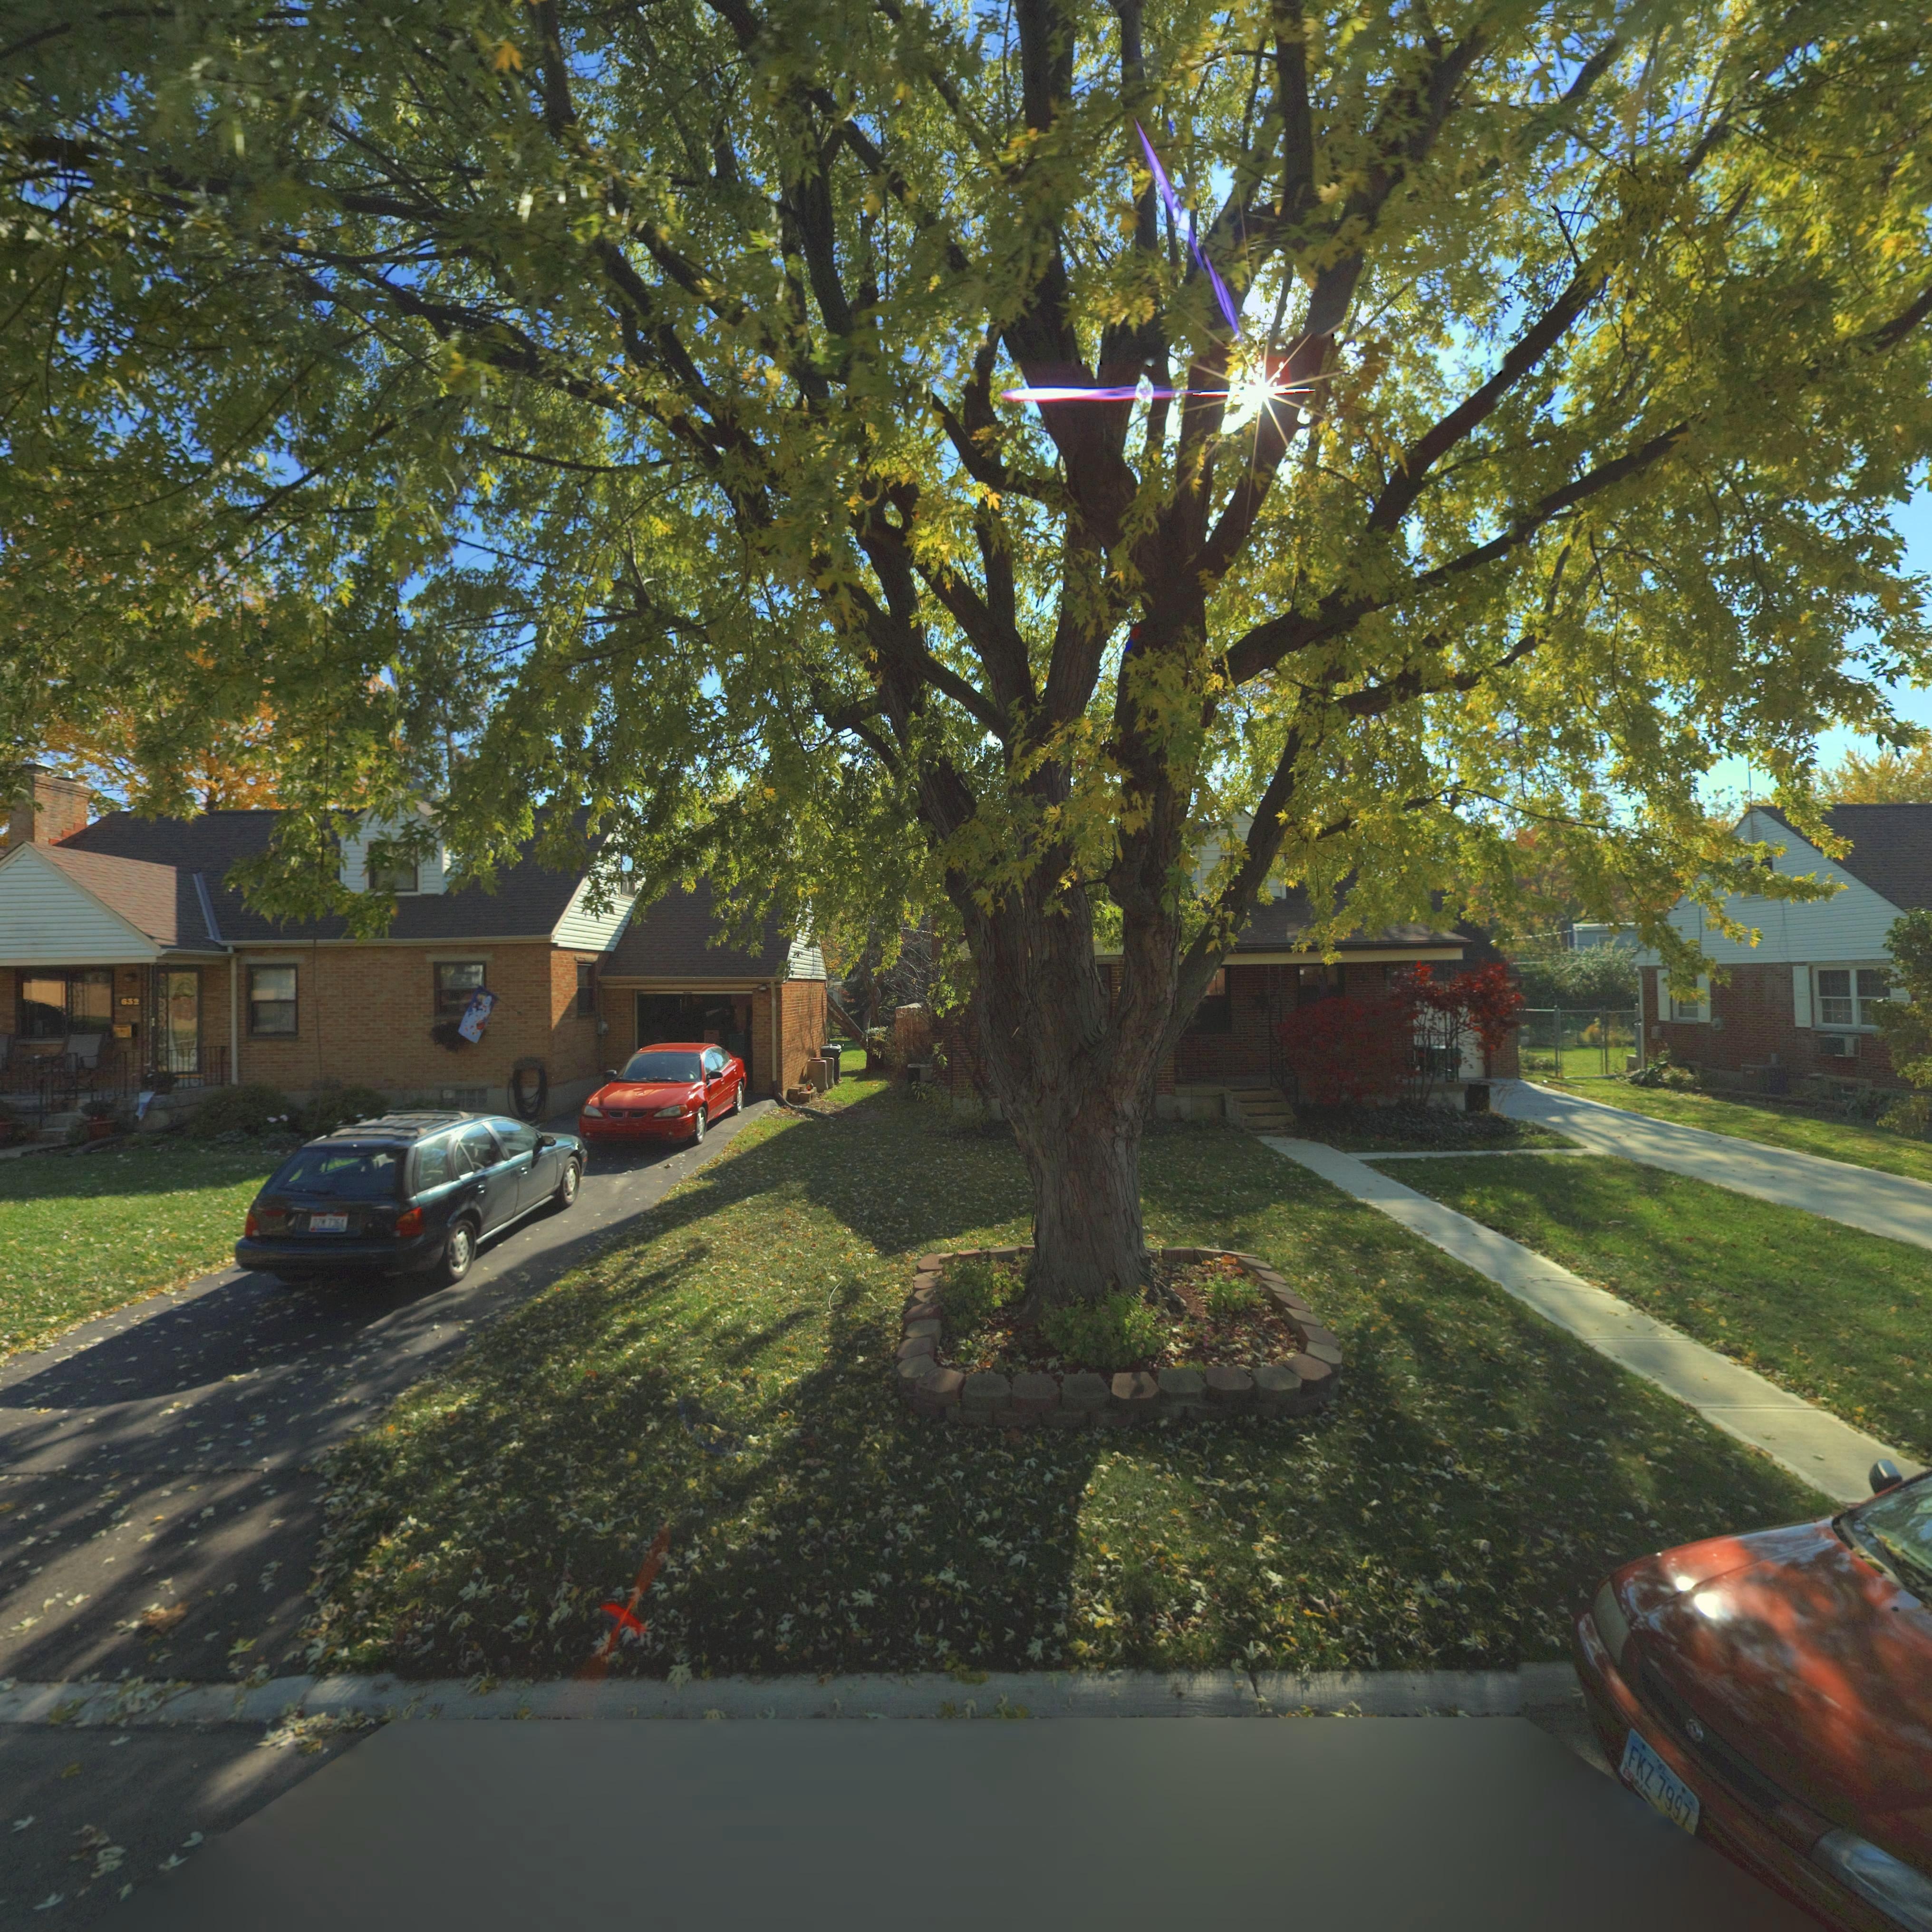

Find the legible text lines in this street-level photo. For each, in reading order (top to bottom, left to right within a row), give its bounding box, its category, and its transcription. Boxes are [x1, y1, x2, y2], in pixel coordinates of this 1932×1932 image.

[120, 997, 140, 1006] StreetNumber: 632